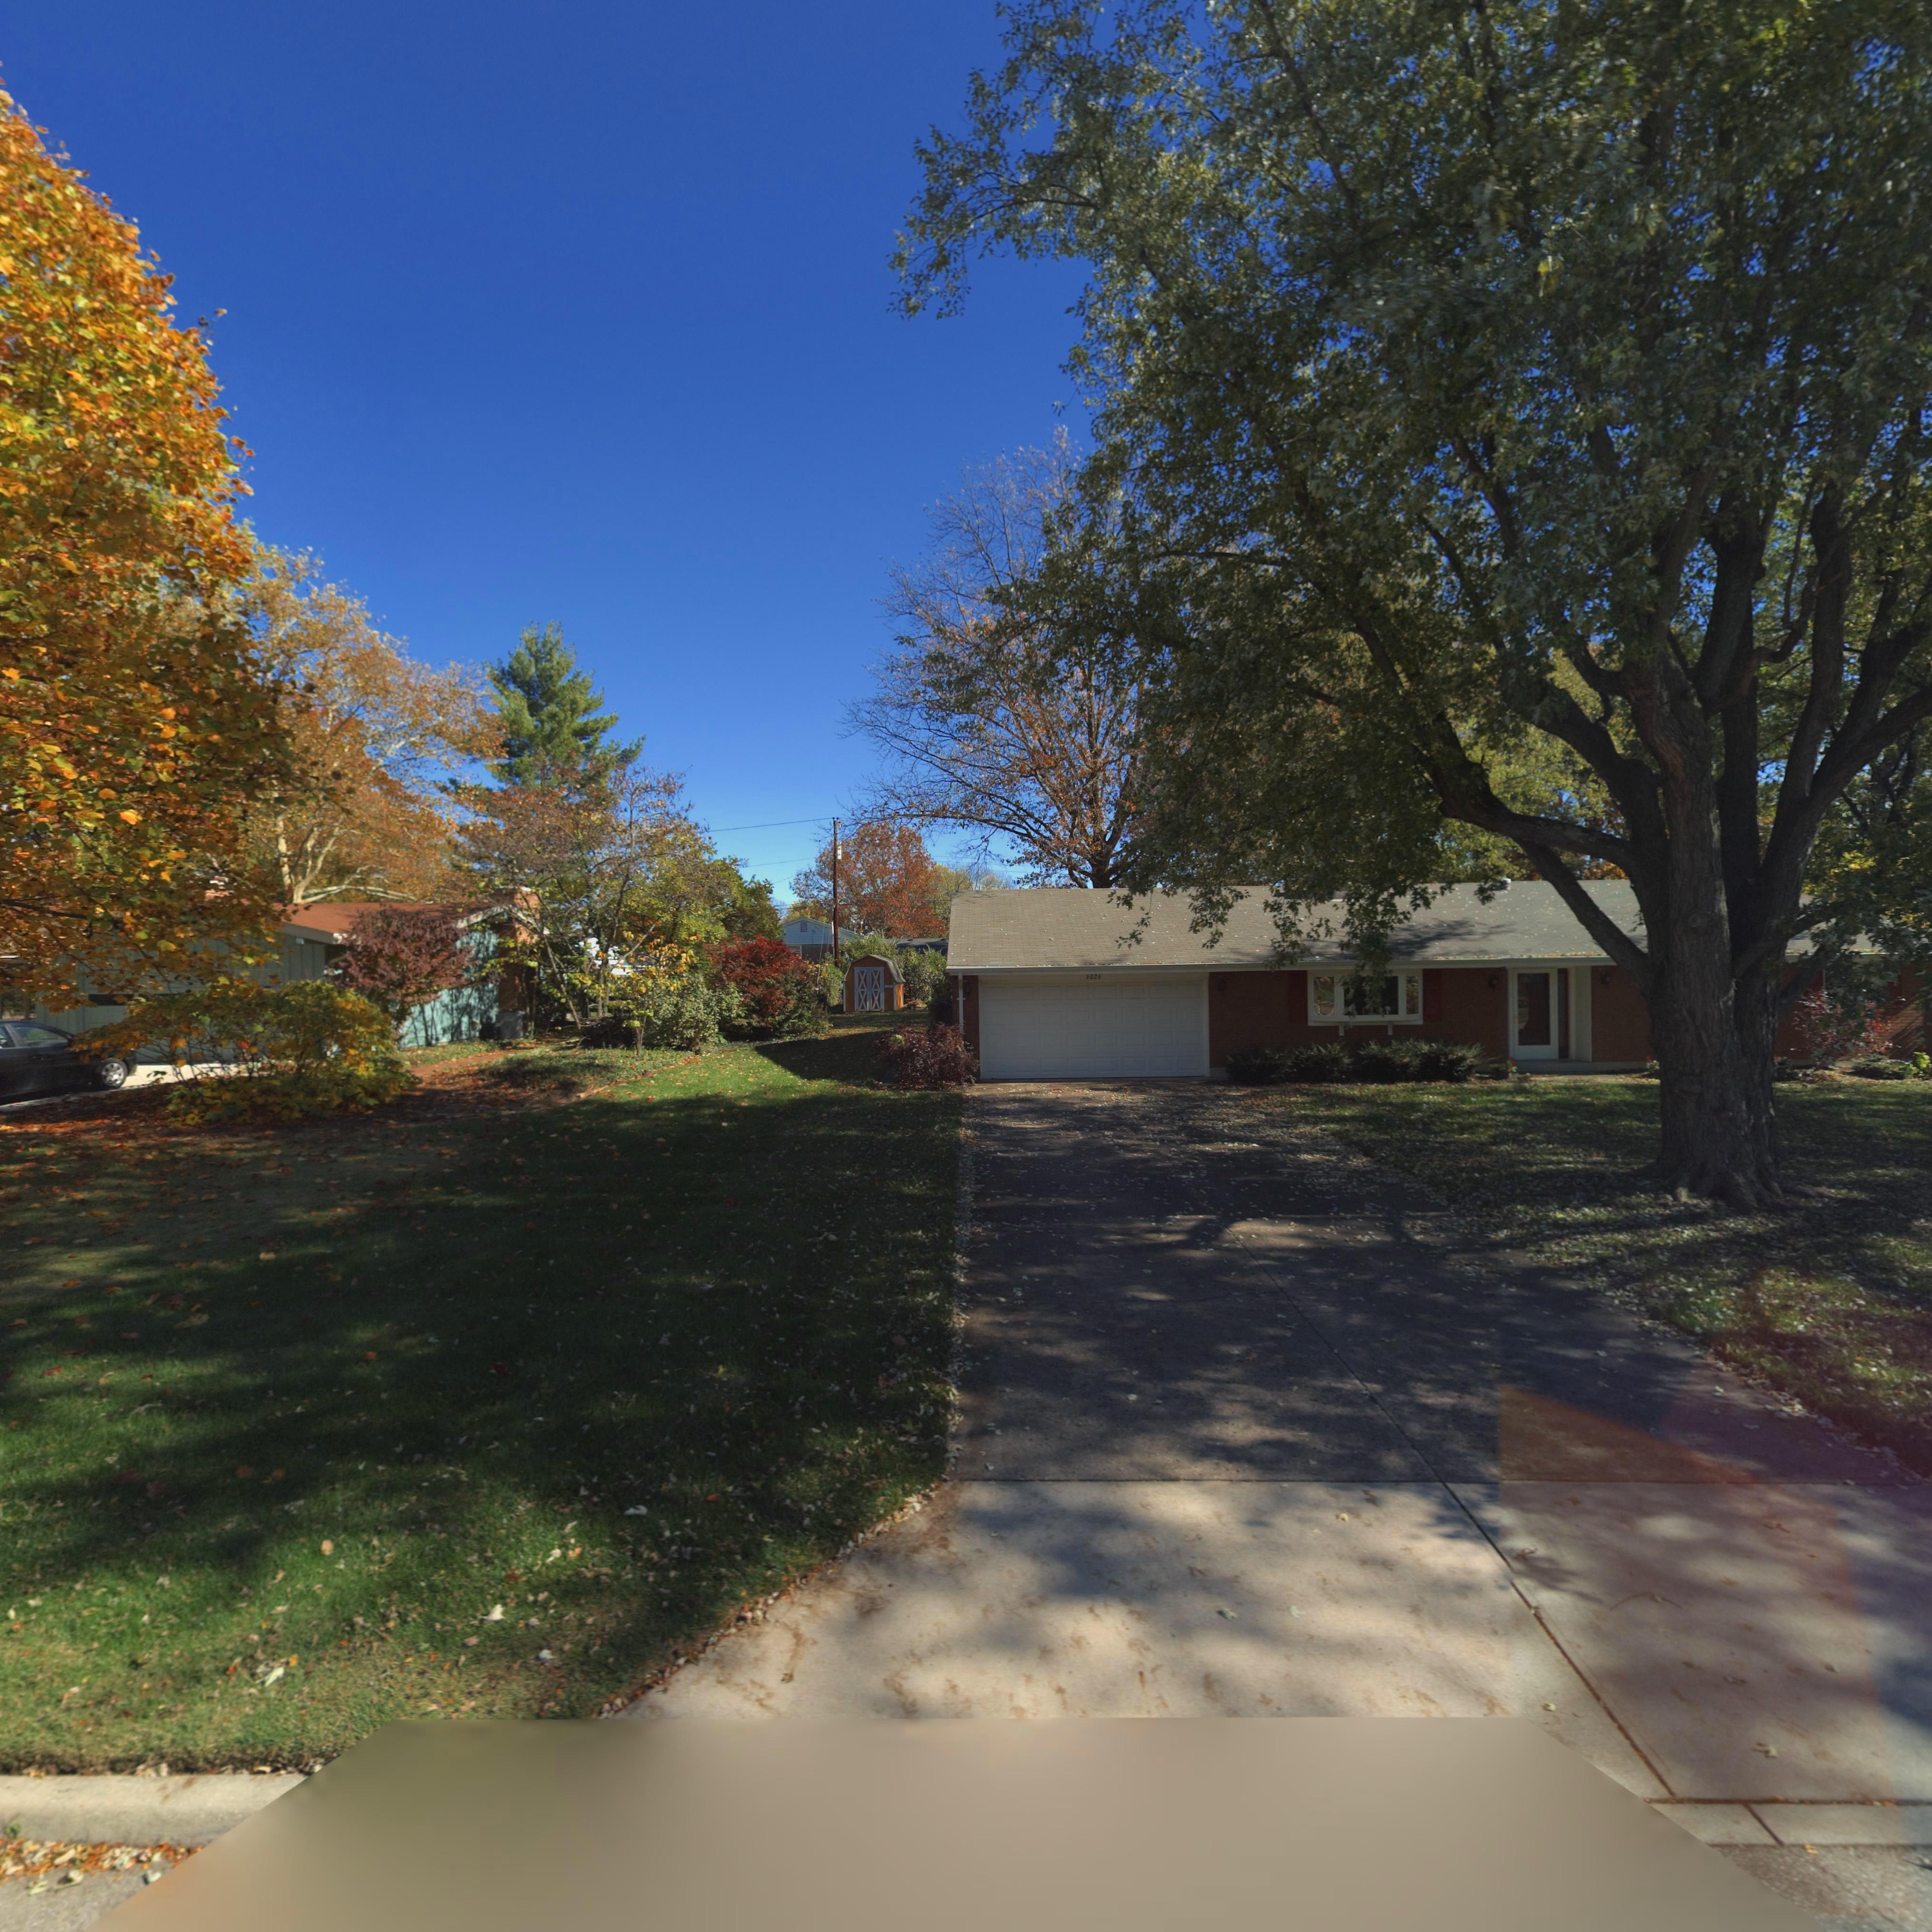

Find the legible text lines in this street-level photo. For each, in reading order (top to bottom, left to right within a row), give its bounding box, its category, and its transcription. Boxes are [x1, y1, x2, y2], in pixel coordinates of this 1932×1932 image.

[1085, 973, 1101, 980] StreetNumber: 6026